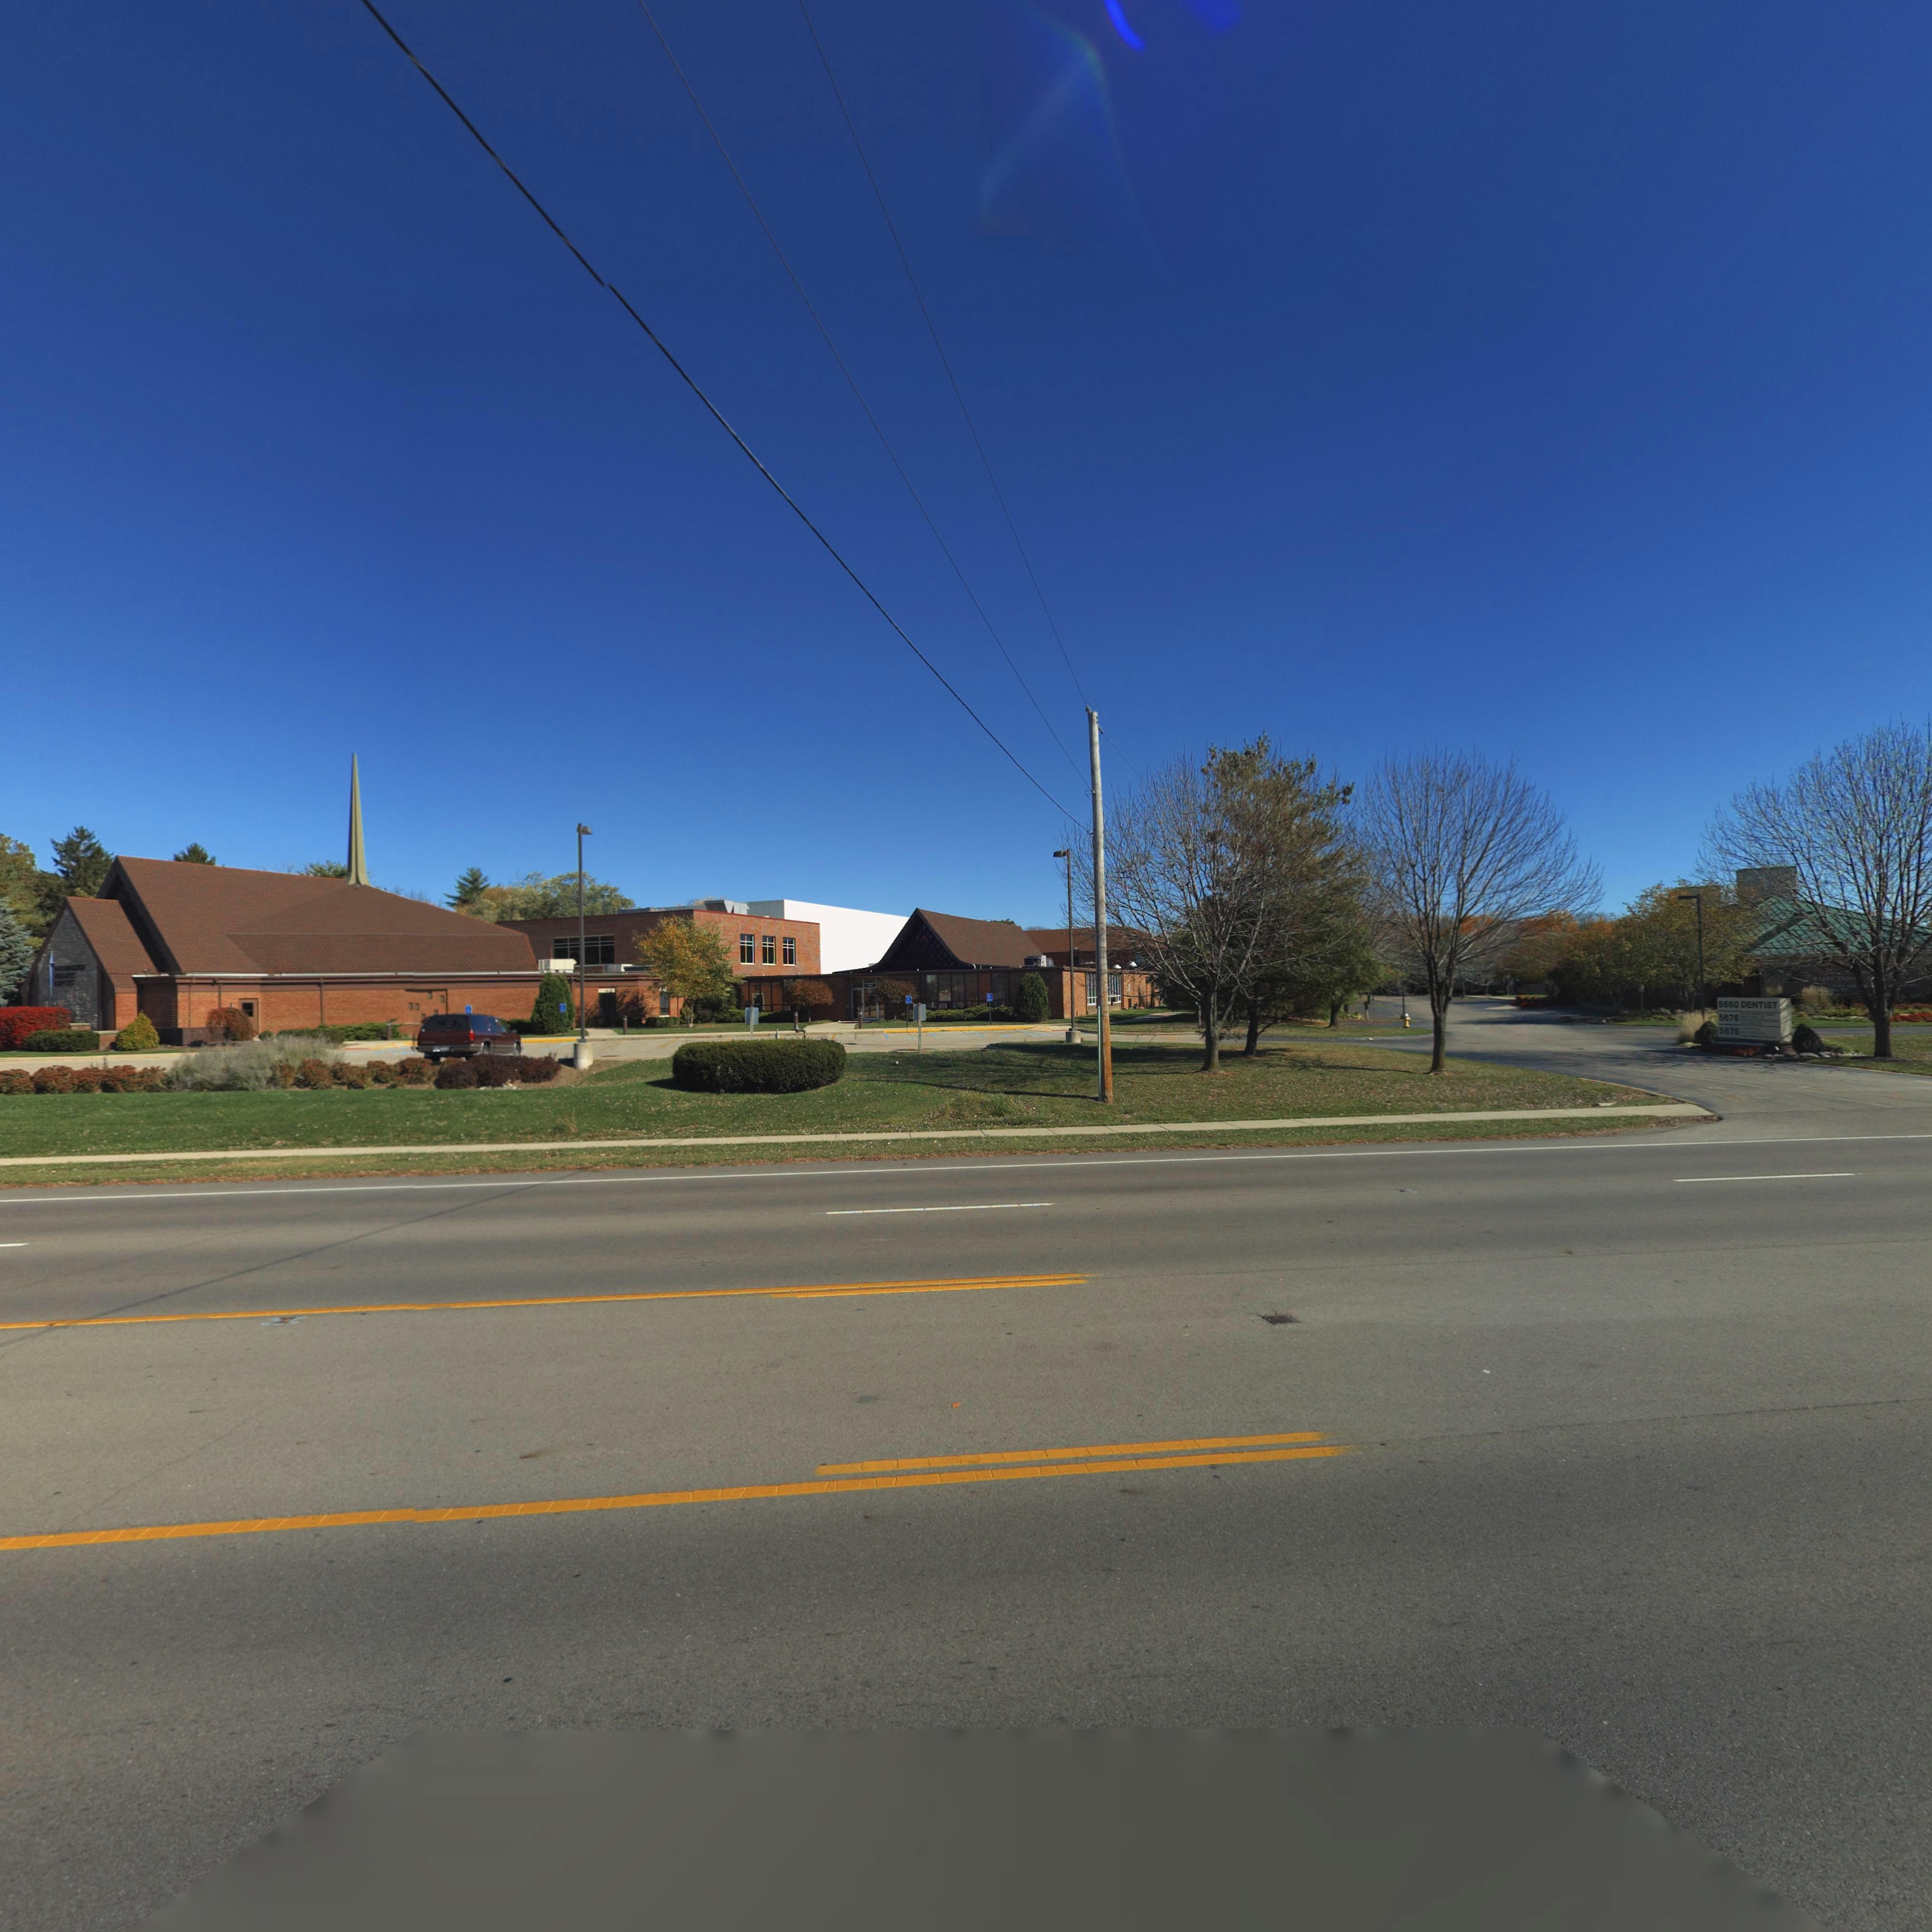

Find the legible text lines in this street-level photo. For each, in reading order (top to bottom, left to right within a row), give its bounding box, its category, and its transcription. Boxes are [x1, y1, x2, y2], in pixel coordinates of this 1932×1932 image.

[1718, 999, 1740, 1009] StreetNumber: 5660
[1740, 1000, 1779, 1010] None: DENTIST
[1718, 1013, 1740, 1023] StreetNumber: 5676
[1718, 1026, 1740, 1036] StreetNumber: 5678